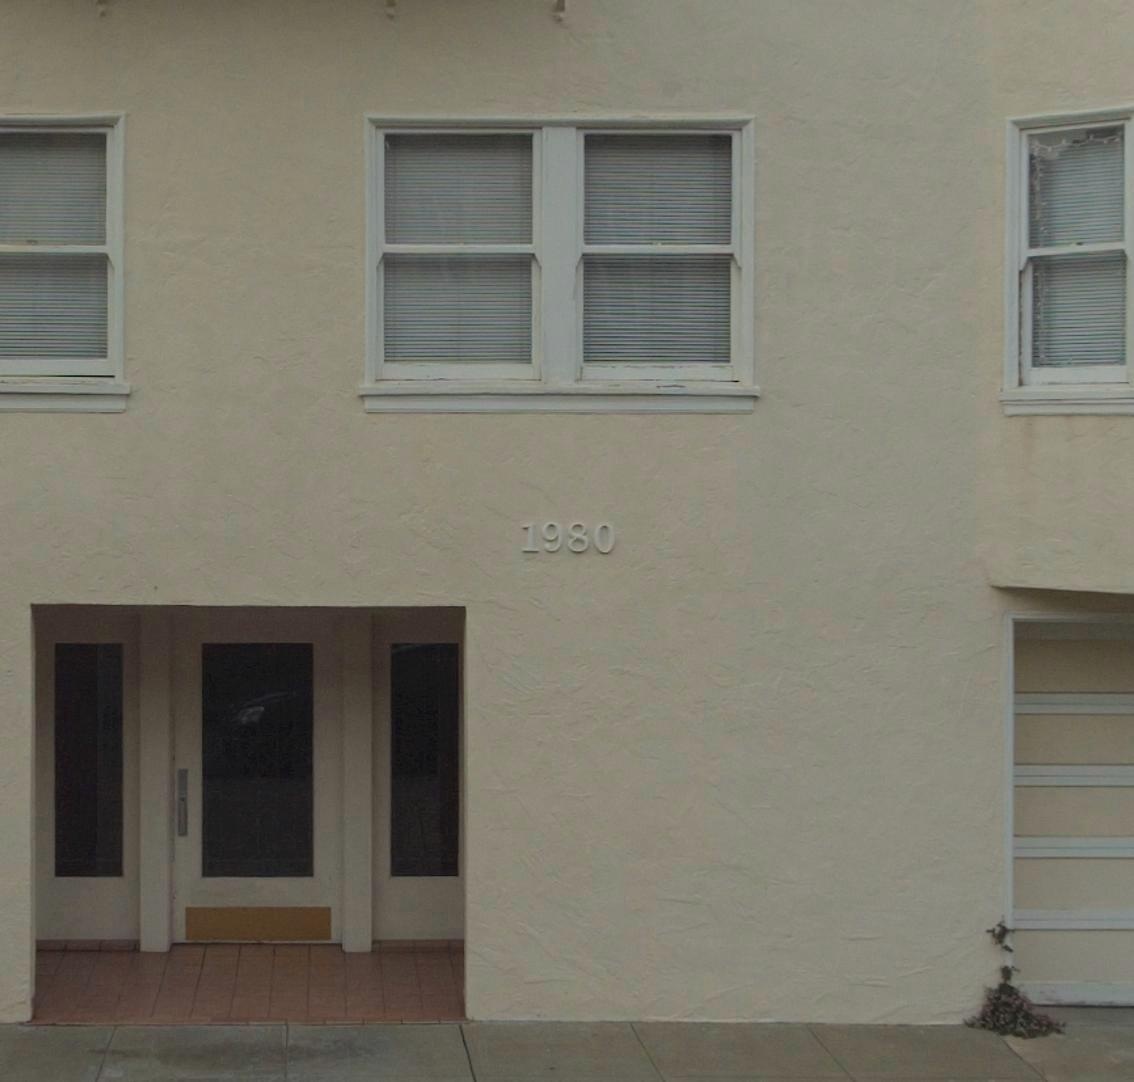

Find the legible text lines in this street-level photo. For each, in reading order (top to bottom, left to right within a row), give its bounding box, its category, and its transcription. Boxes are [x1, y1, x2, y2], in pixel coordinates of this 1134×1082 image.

[518, 518, 619, 558] StreetNumber: 1980